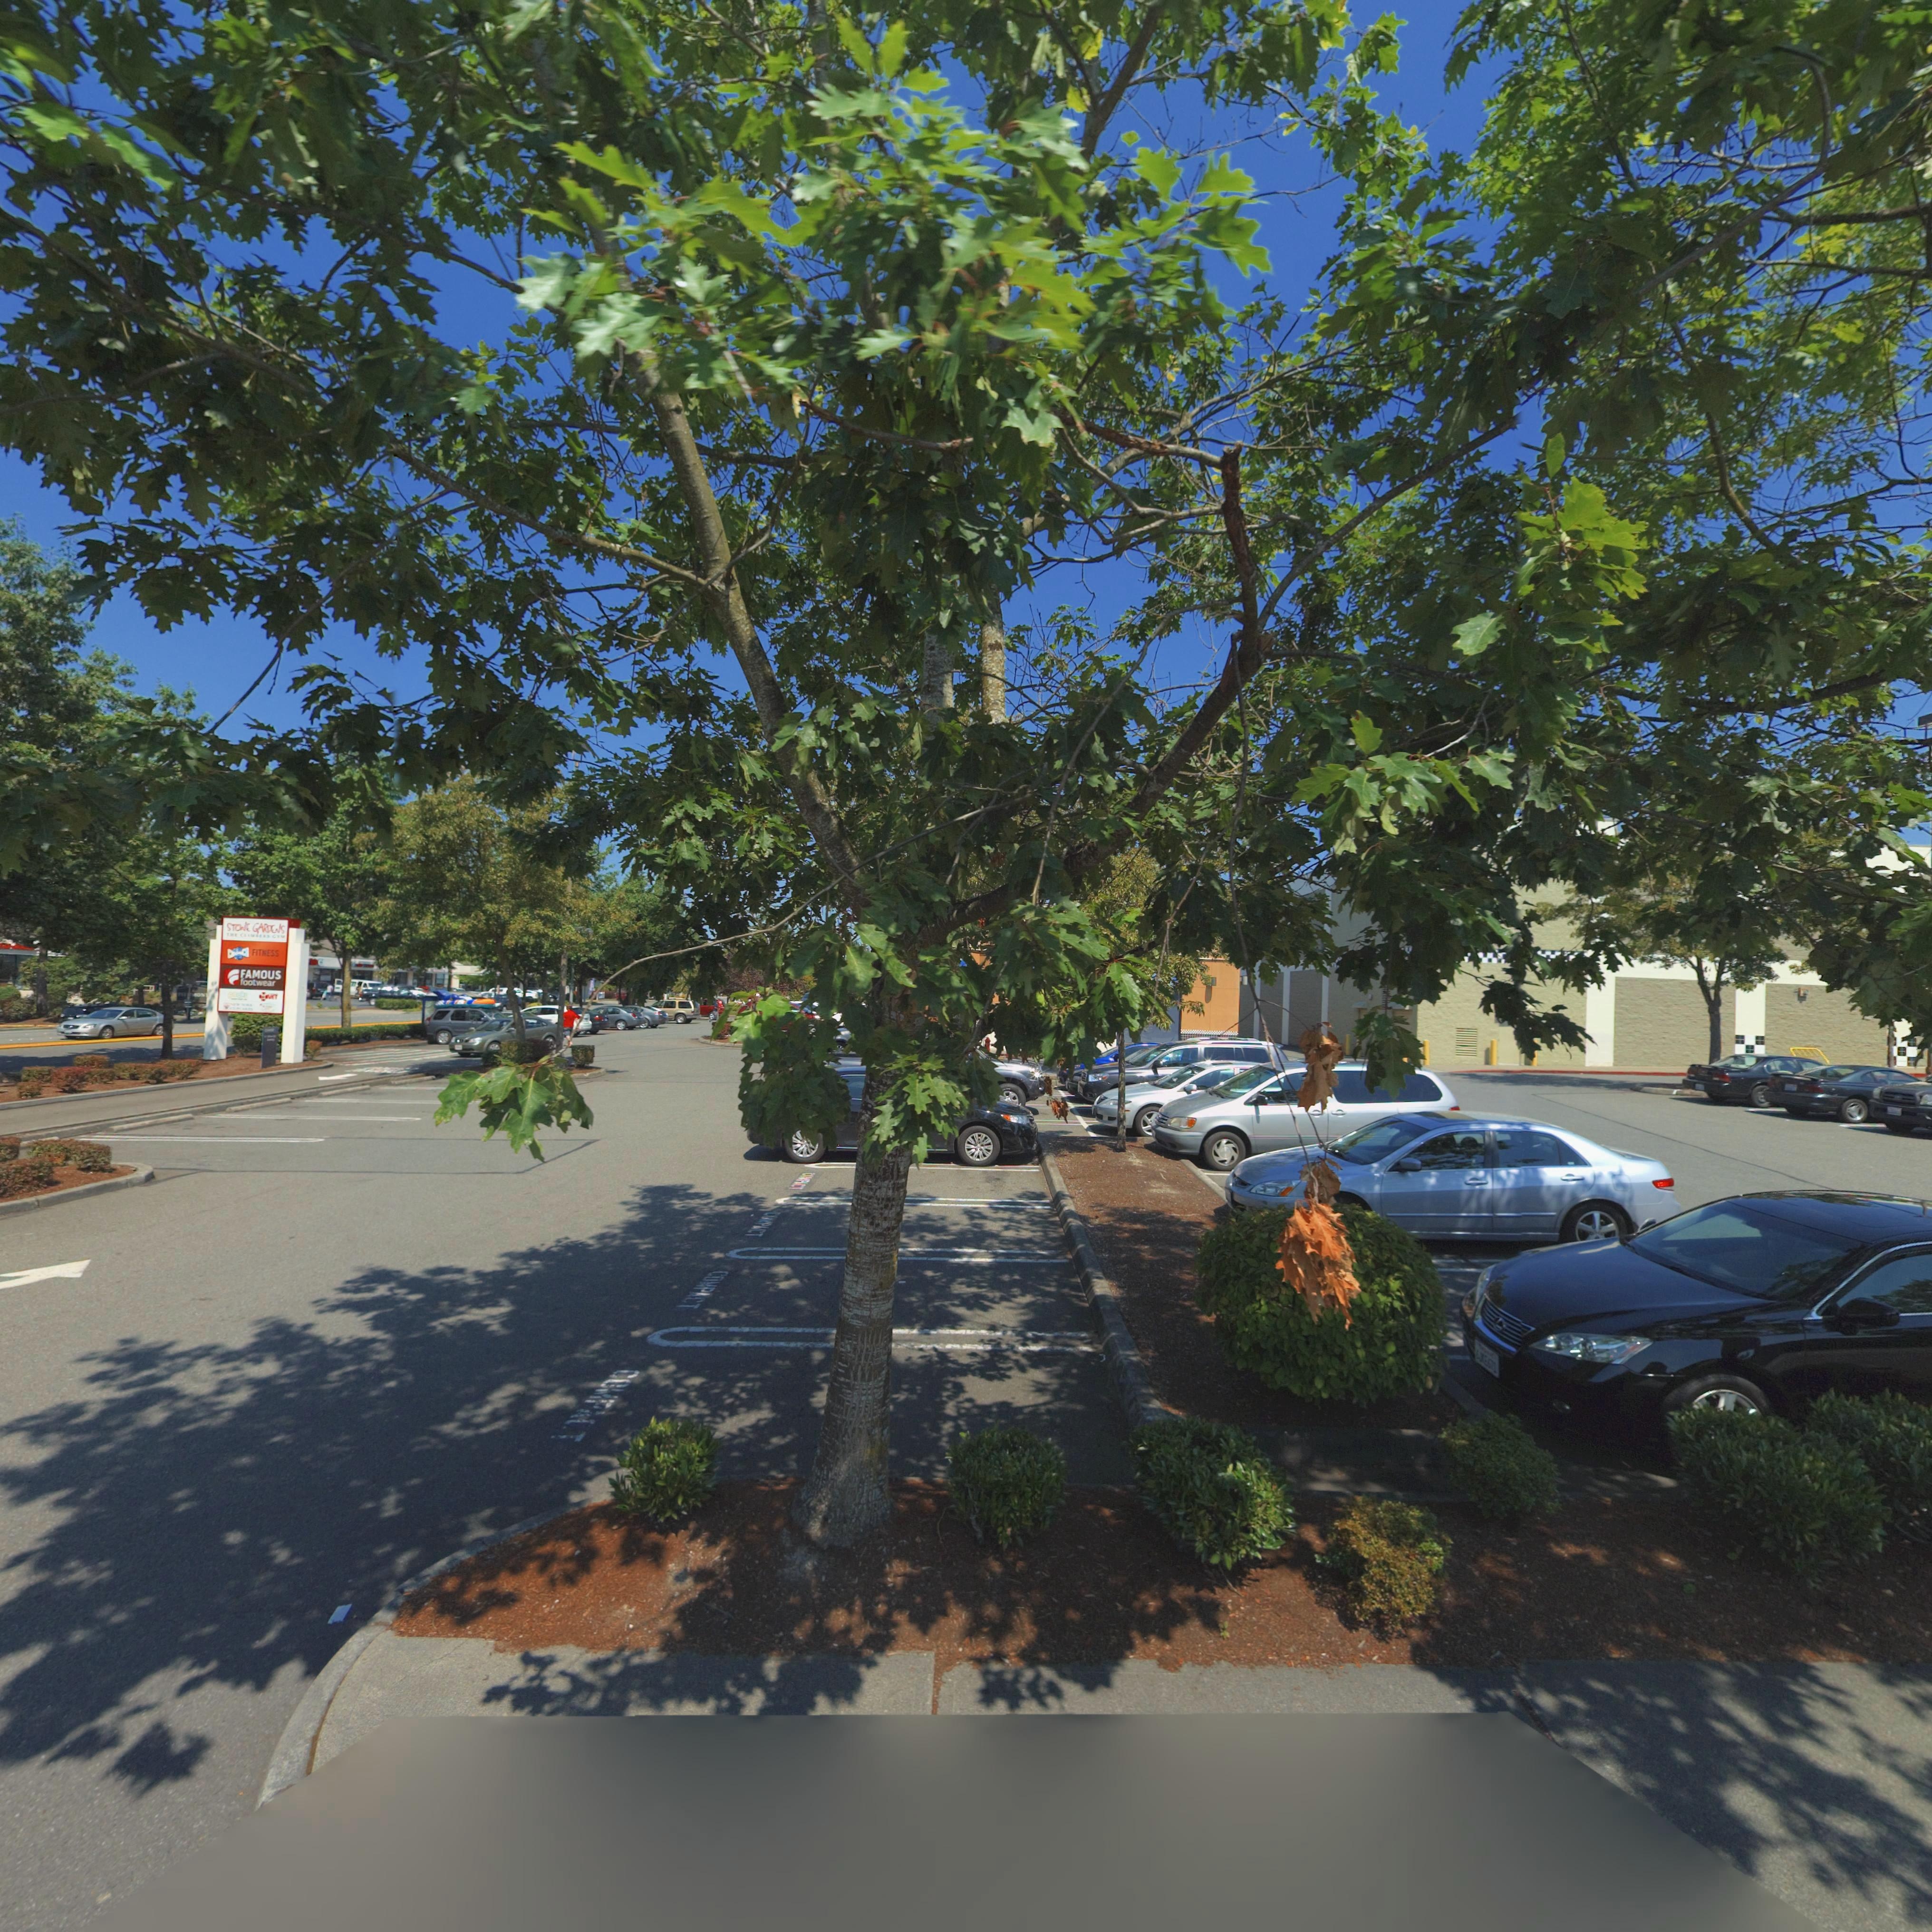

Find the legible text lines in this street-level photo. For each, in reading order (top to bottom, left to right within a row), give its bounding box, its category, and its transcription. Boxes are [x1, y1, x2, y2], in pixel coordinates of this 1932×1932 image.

[226, 920, 285, 934] BusinessName: STOWE GARDEN'S
[251, 949, 279, 957] BusinessName: FITNESS
[240, 969, 281, 979] BusinessName: FAMOUS
[240, 977, 277, 987] BusinessName: footwear